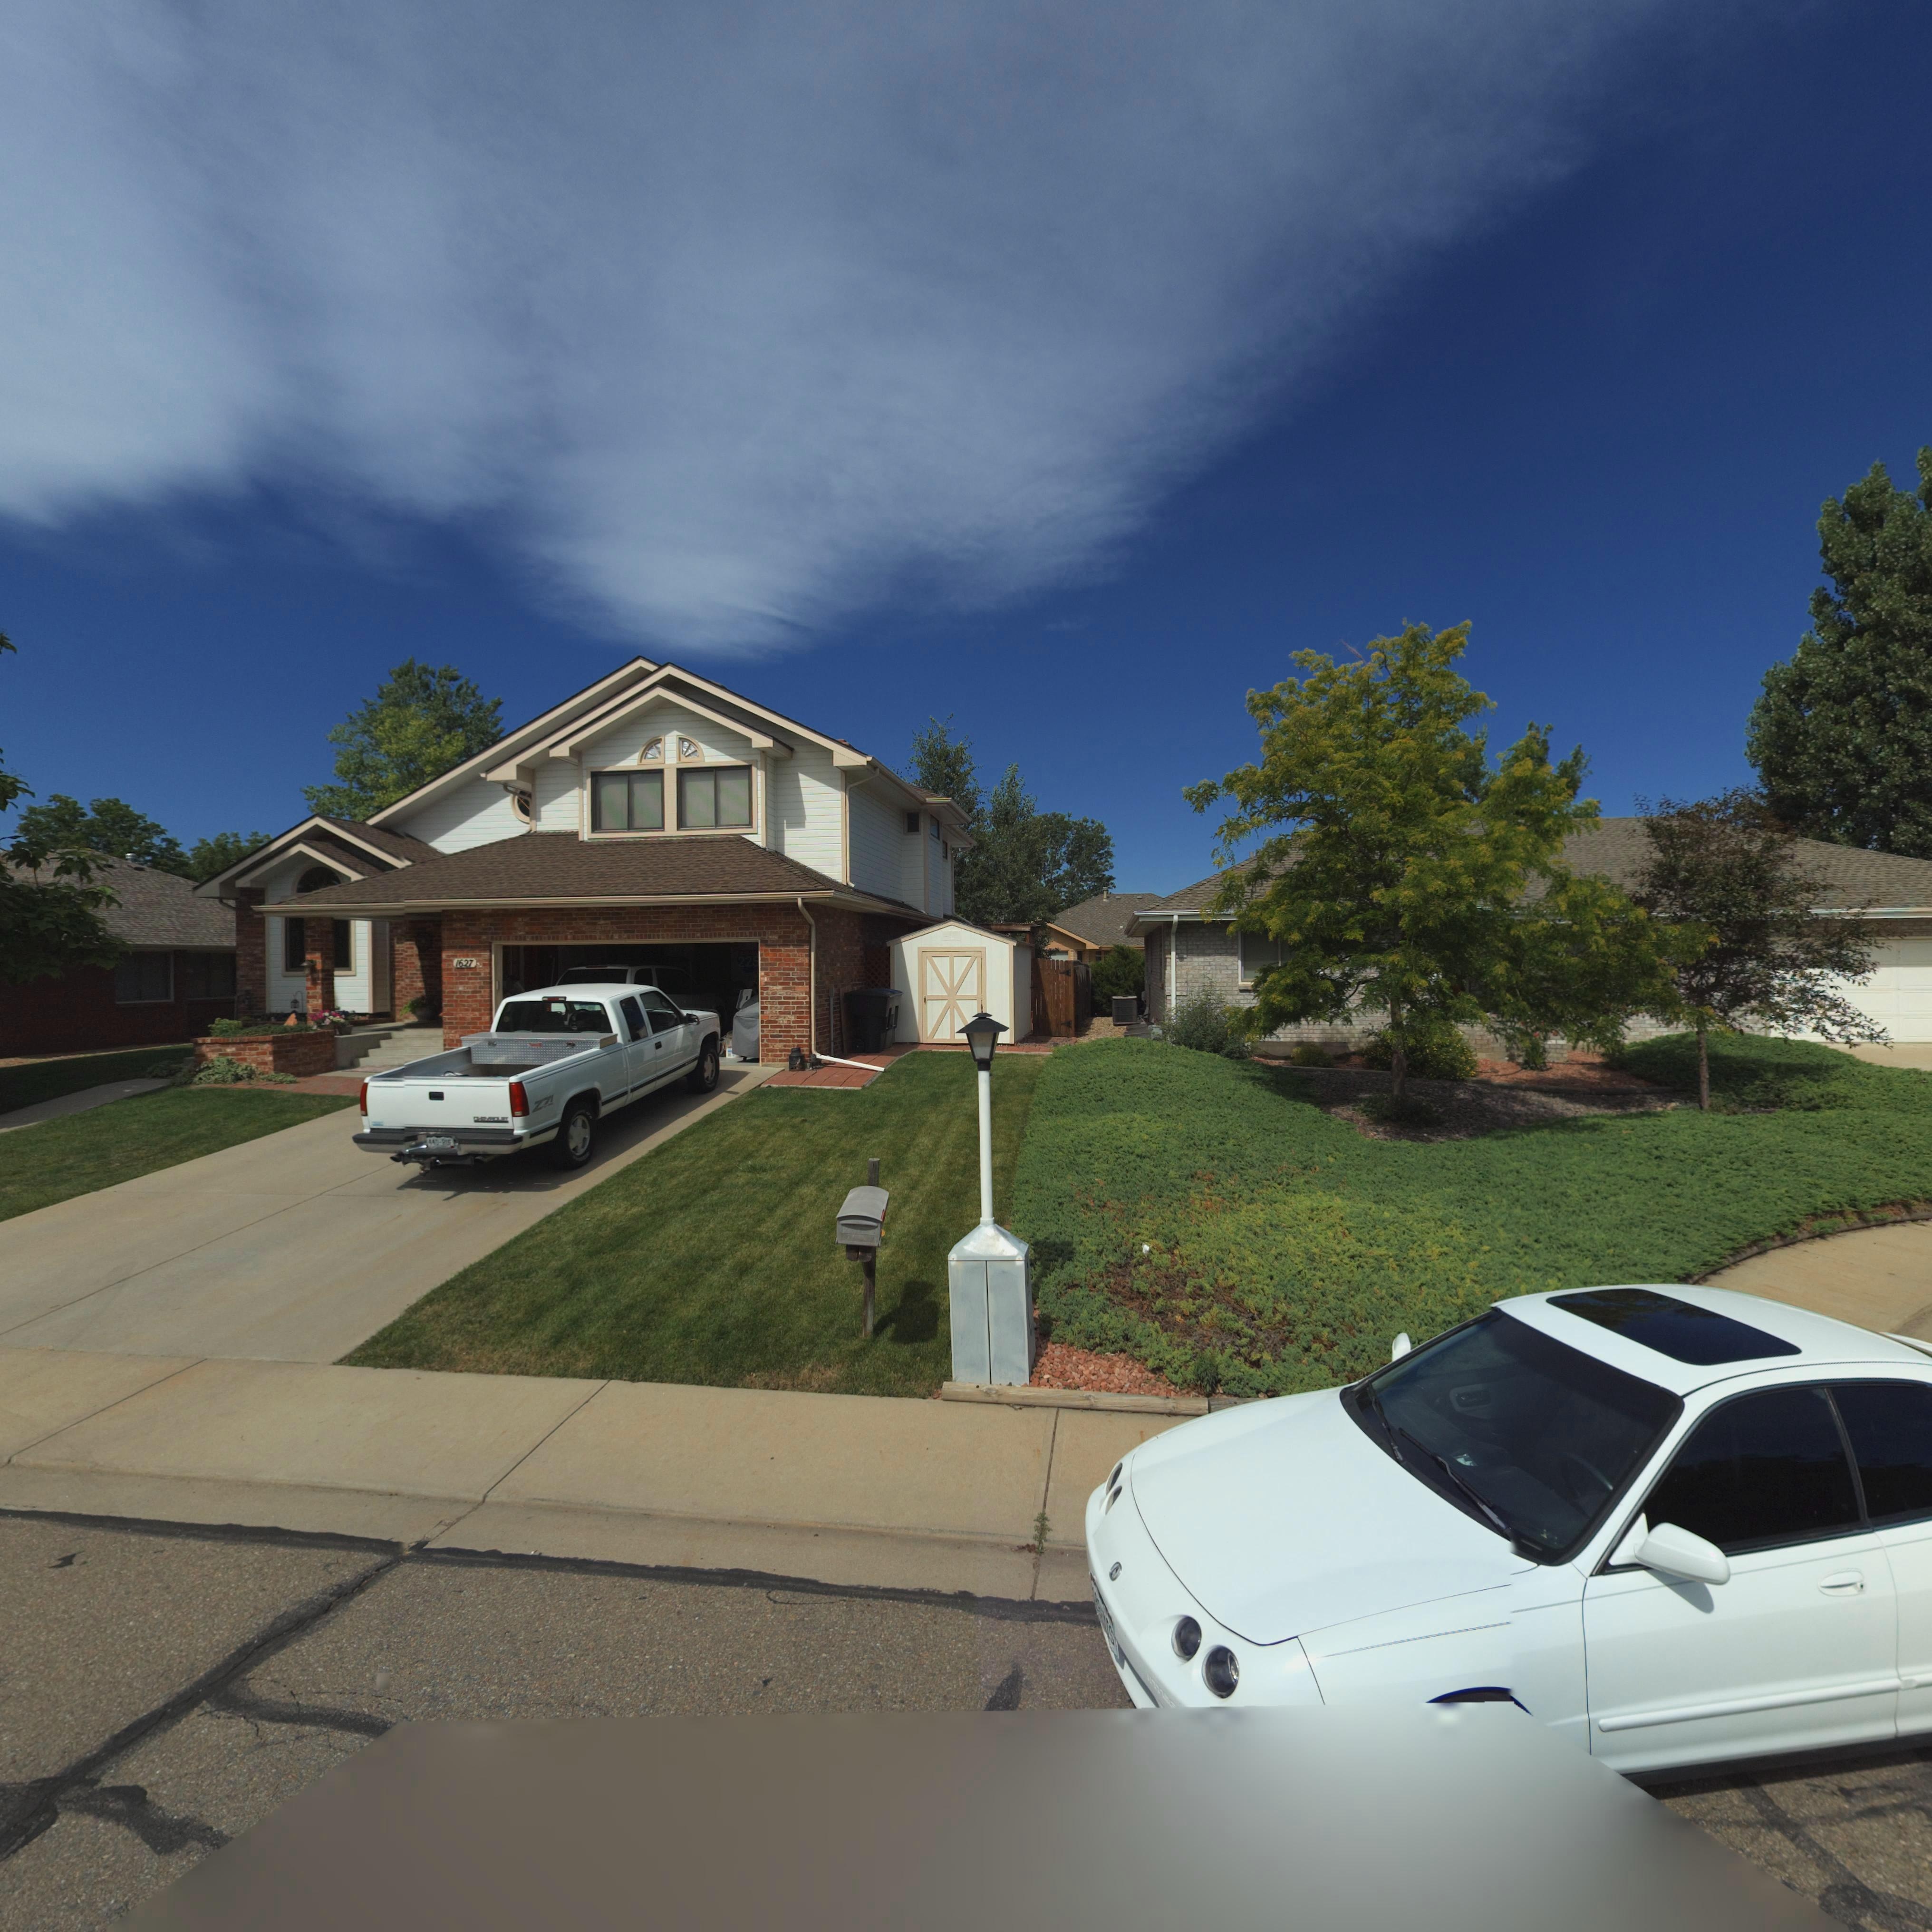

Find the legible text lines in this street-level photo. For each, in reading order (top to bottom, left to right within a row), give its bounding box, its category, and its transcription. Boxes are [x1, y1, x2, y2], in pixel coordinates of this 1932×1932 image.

[454, 959, 474, 967] StreetNumber: 1627